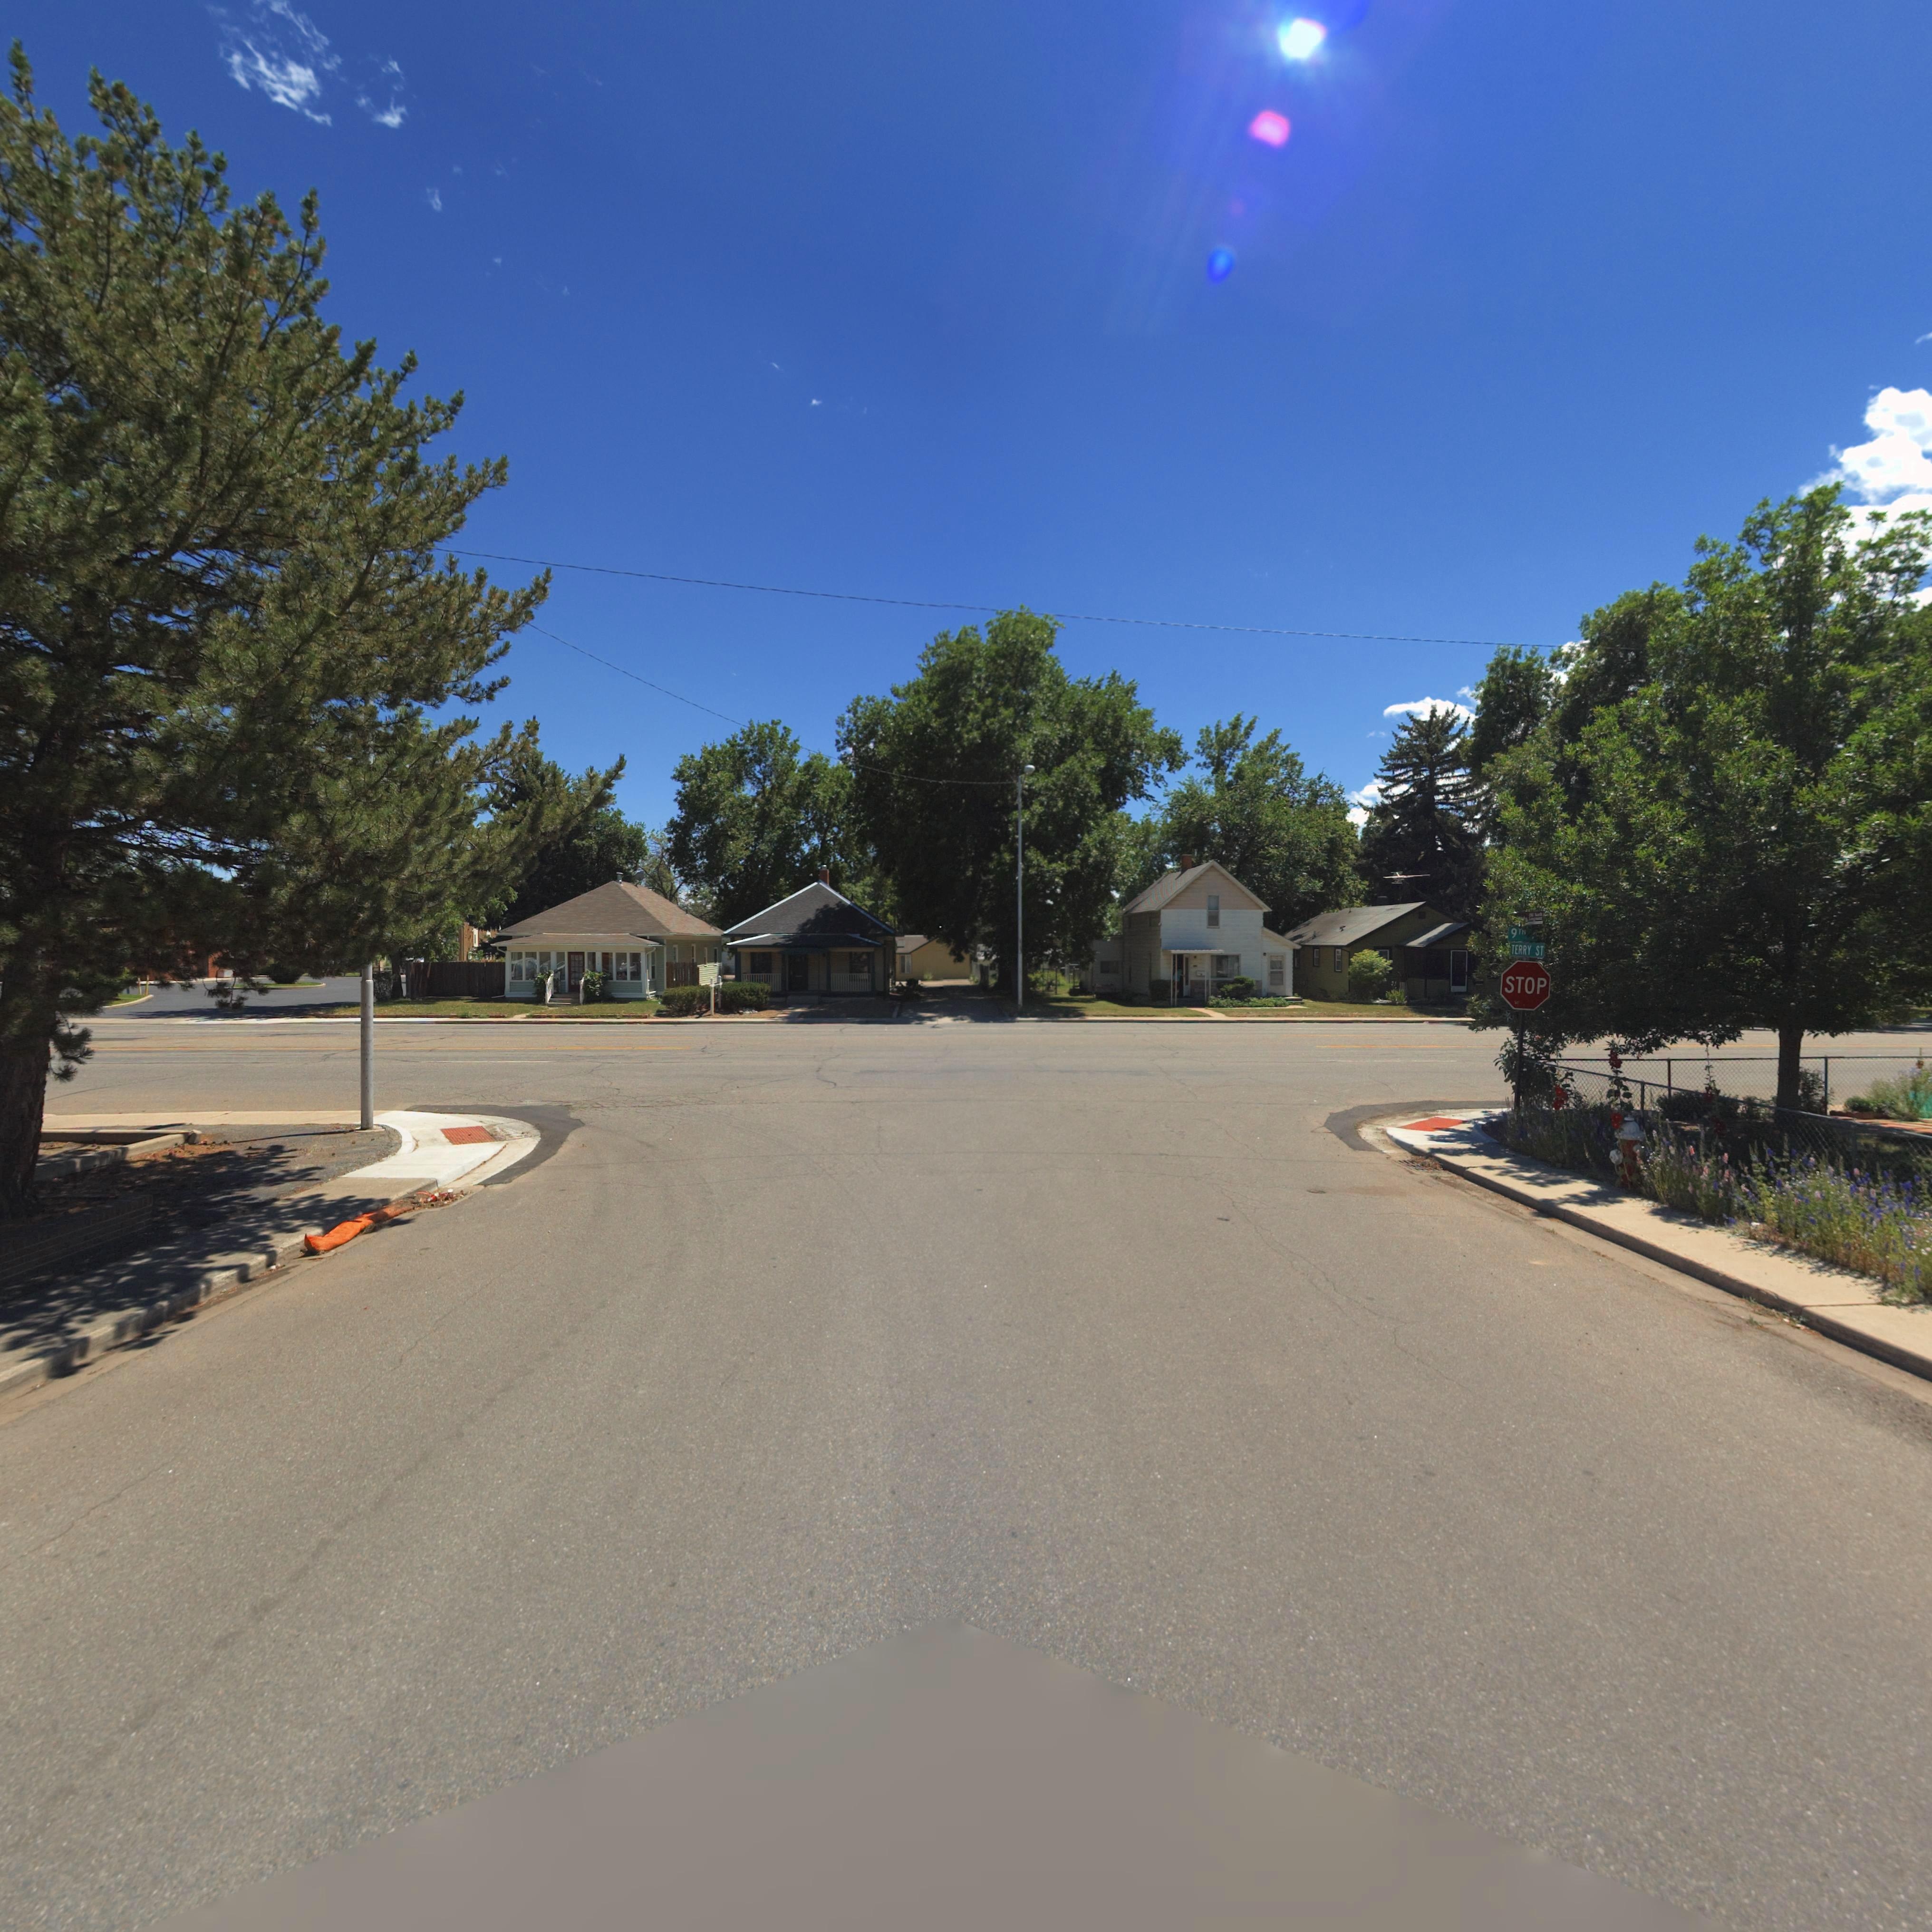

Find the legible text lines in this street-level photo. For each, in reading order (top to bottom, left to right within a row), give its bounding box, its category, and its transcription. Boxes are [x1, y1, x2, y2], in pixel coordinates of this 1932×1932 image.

[1510, 927, 1526, 938] StreetName: 9TH
[1511, 944, 1544, 956] StreetName: TERRY ST
[596, 956, 599, 966] StreetNumber: 719